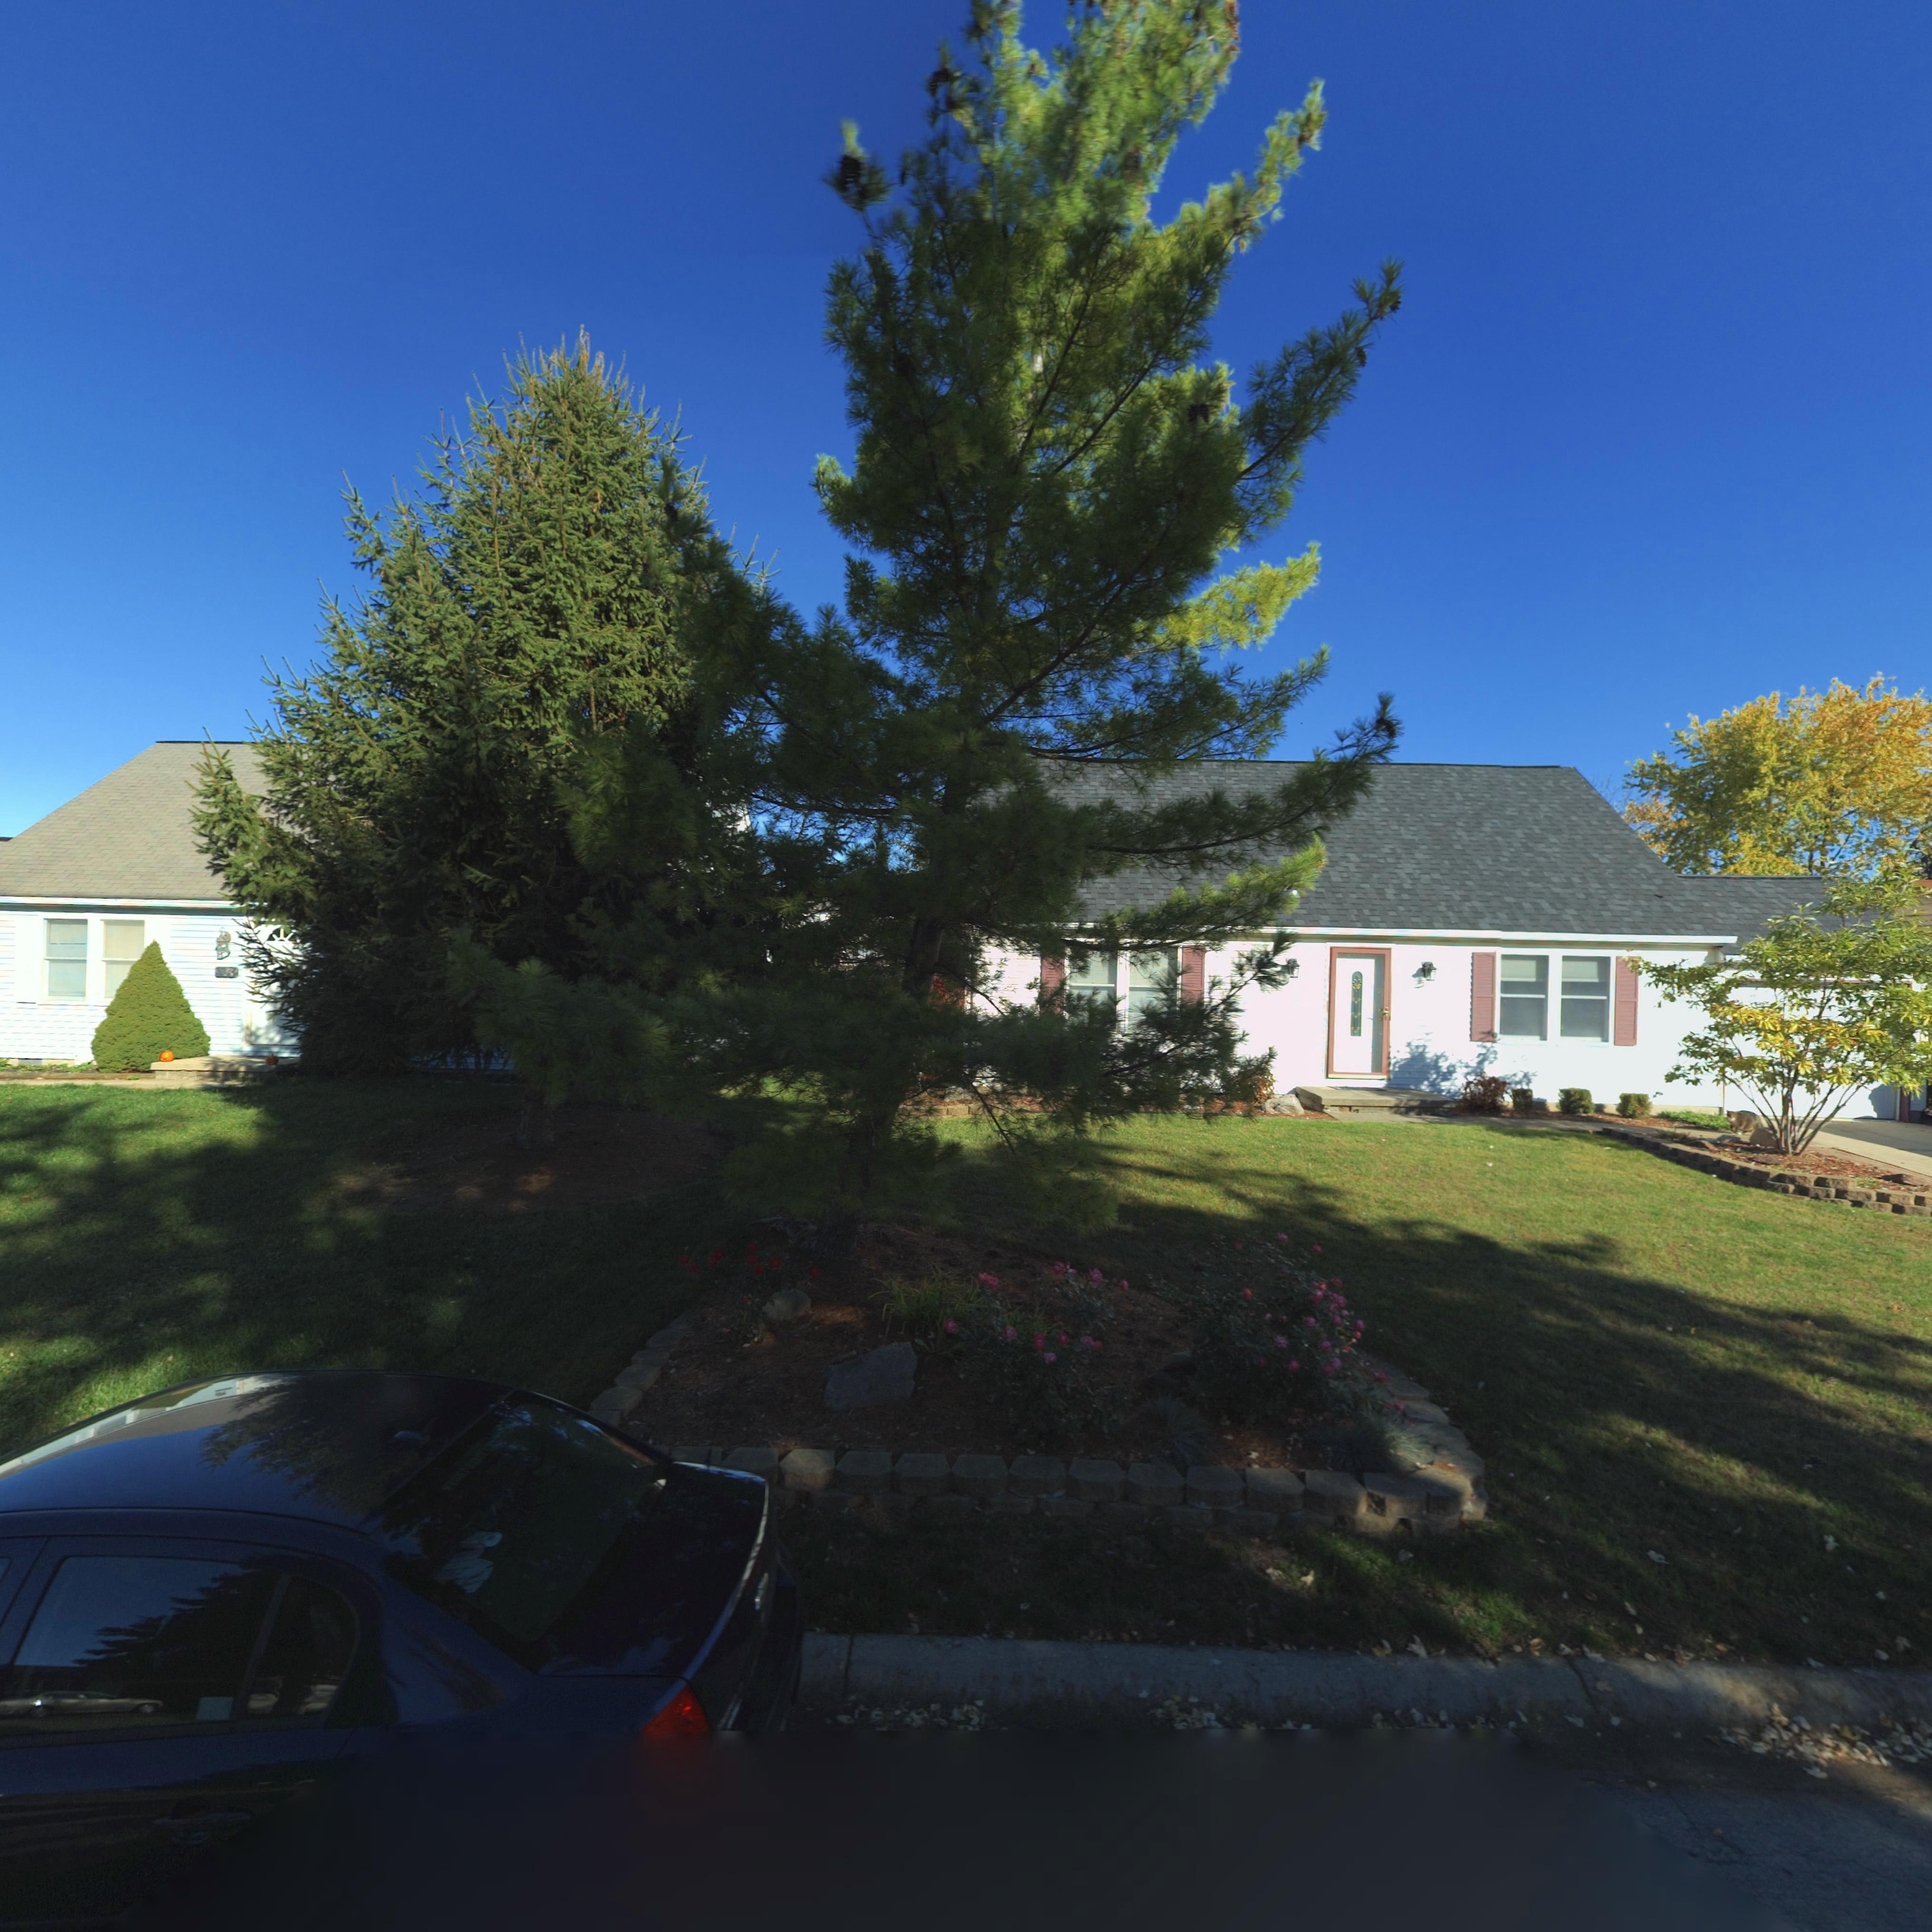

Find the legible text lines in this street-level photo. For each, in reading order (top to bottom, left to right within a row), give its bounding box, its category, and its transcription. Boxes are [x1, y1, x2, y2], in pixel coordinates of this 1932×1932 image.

[215, 966, 236, 978] StreetNumber: 113